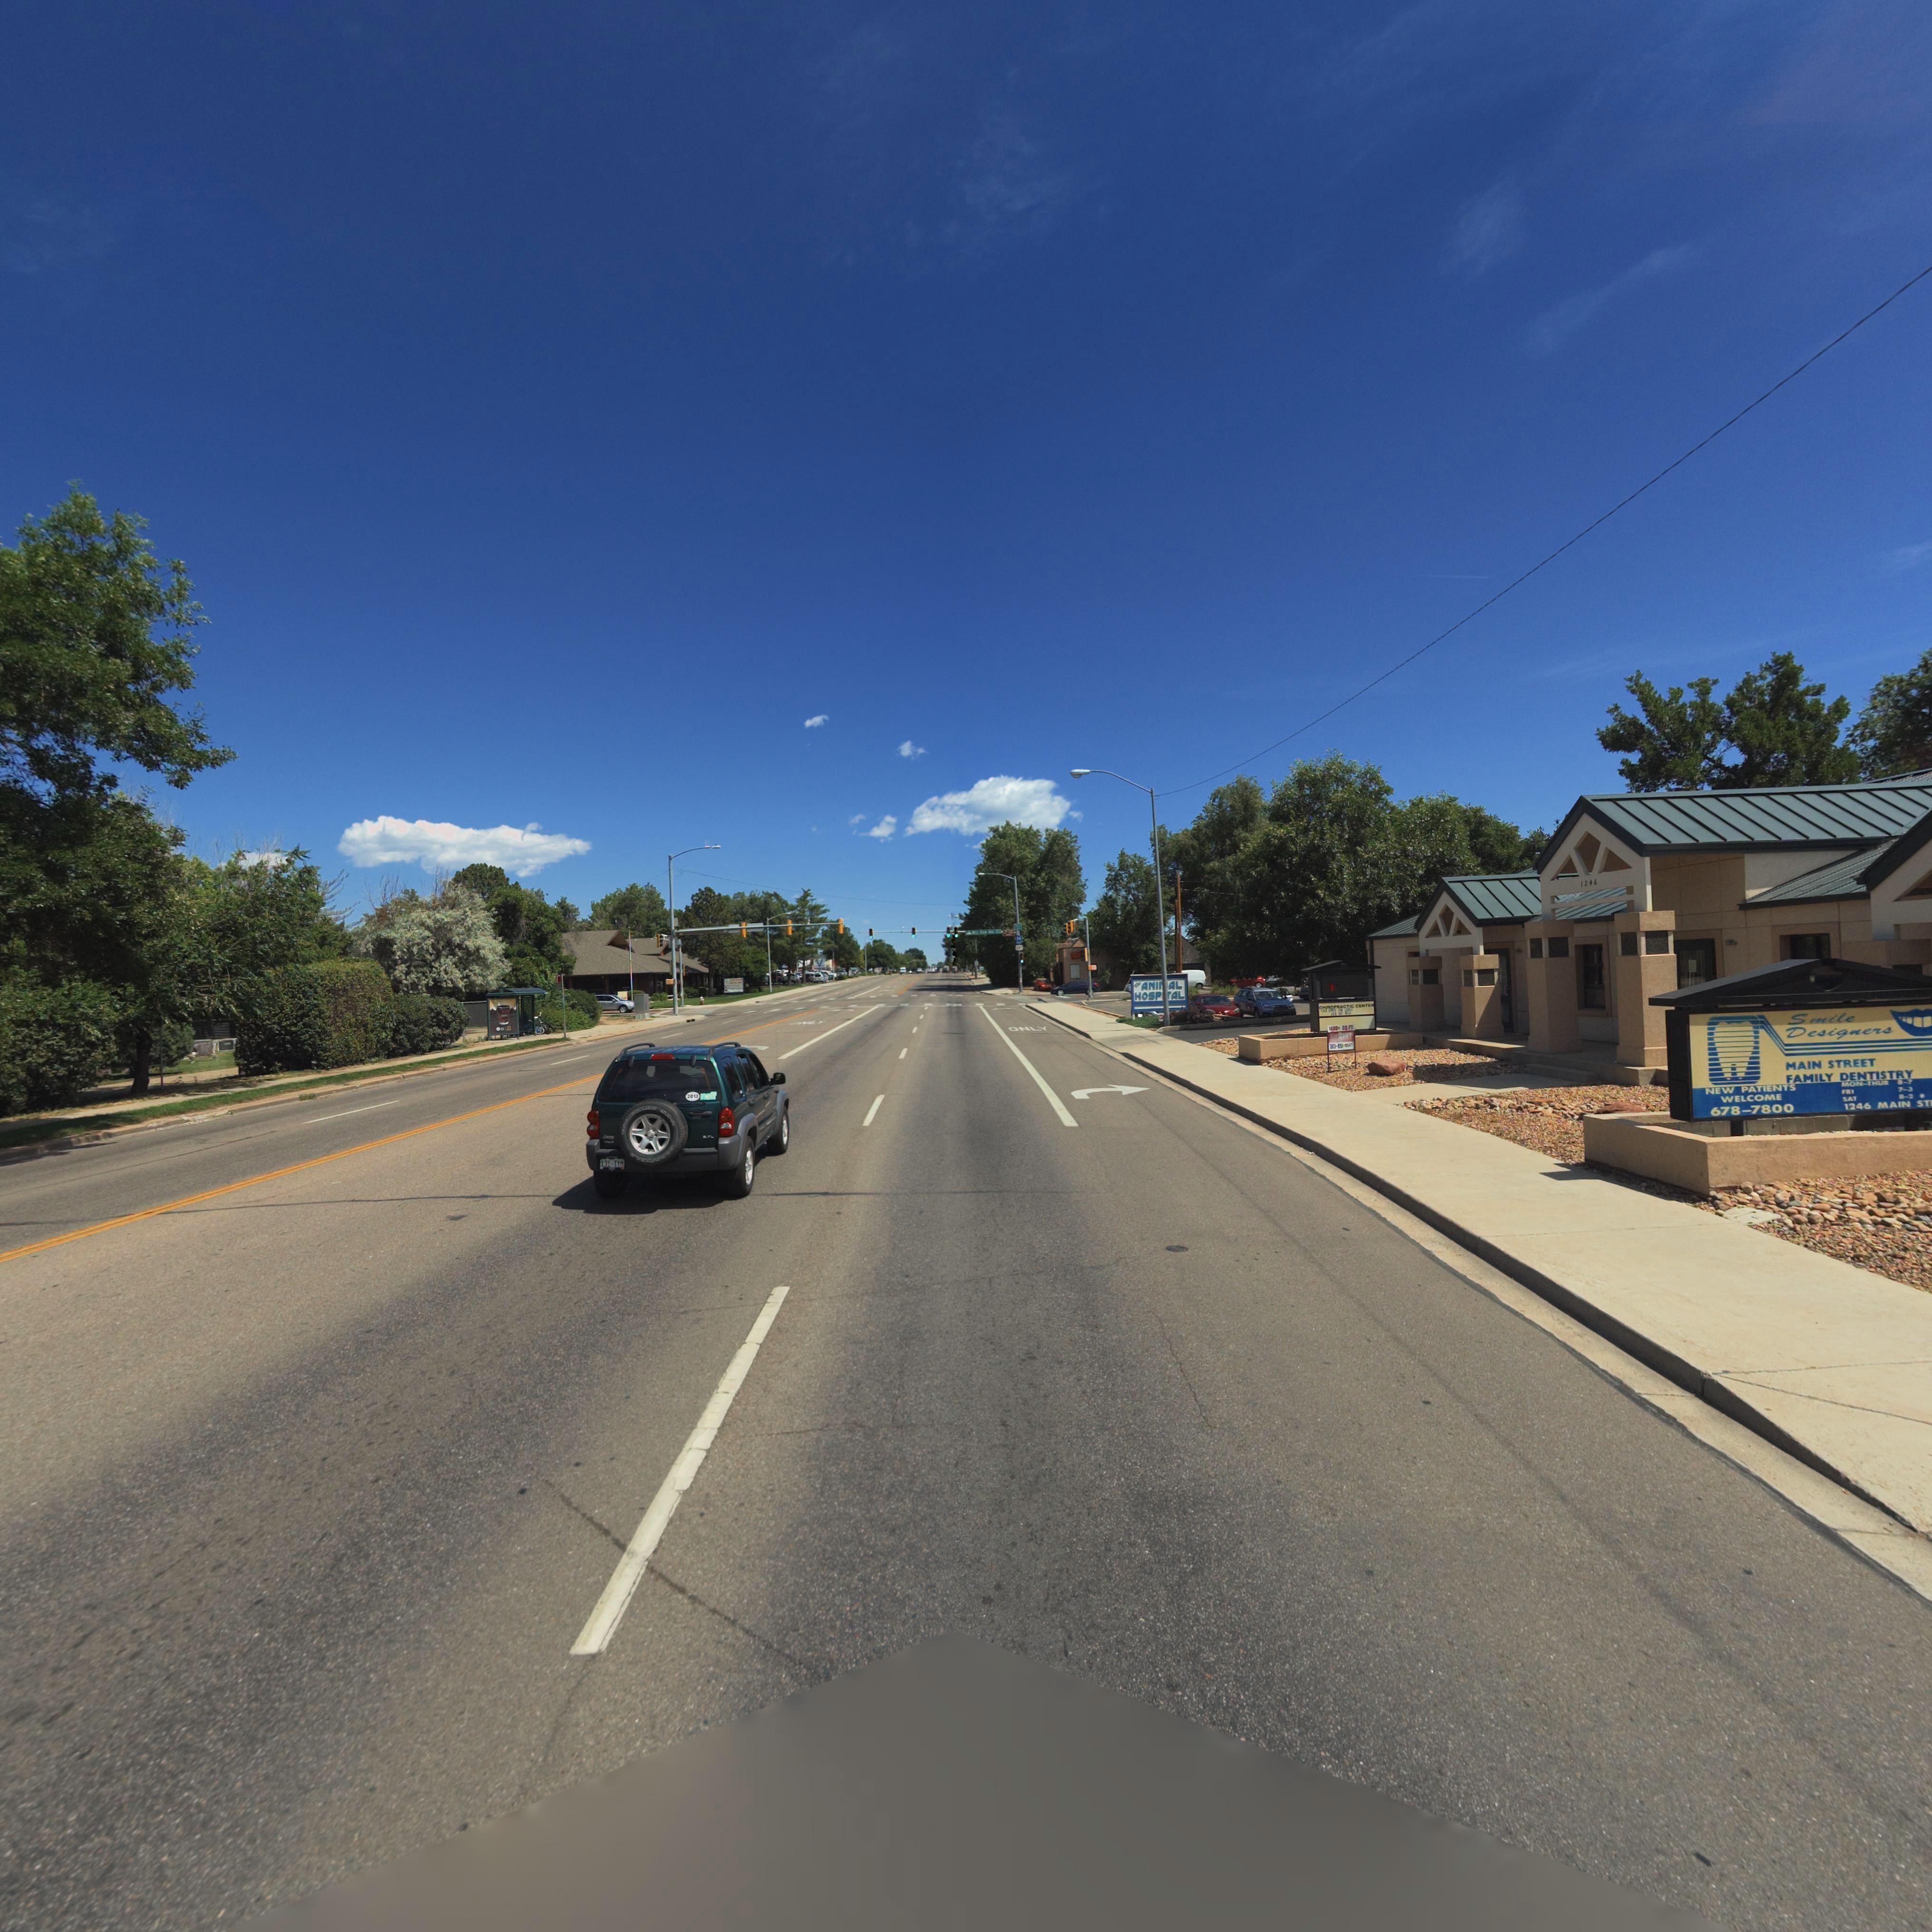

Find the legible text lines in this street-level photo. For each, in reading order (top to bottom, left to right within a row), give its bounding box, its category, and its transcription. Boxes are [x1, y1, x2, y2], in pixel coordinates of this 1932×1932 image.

[1580, 879, 1597, 887] StreetNumber: 1246
[1133, 980, 1141, 988] BusinessName: *h*
[1141, 980, 1182, 990] BusinessName: ANI*AL
[1135, 991, 1185, 1000] BusinessName: HOSP**AL
[1787, 1012, 1855, 1025] BusinessName: Smile
[1786, 1026, 1892, 1040] BusinessName: Designers
[1844, 1102, 1872, 1110] StreetNumber: 1246
[1877, 1100, 1930, 1109] StreetName: MAIN ST